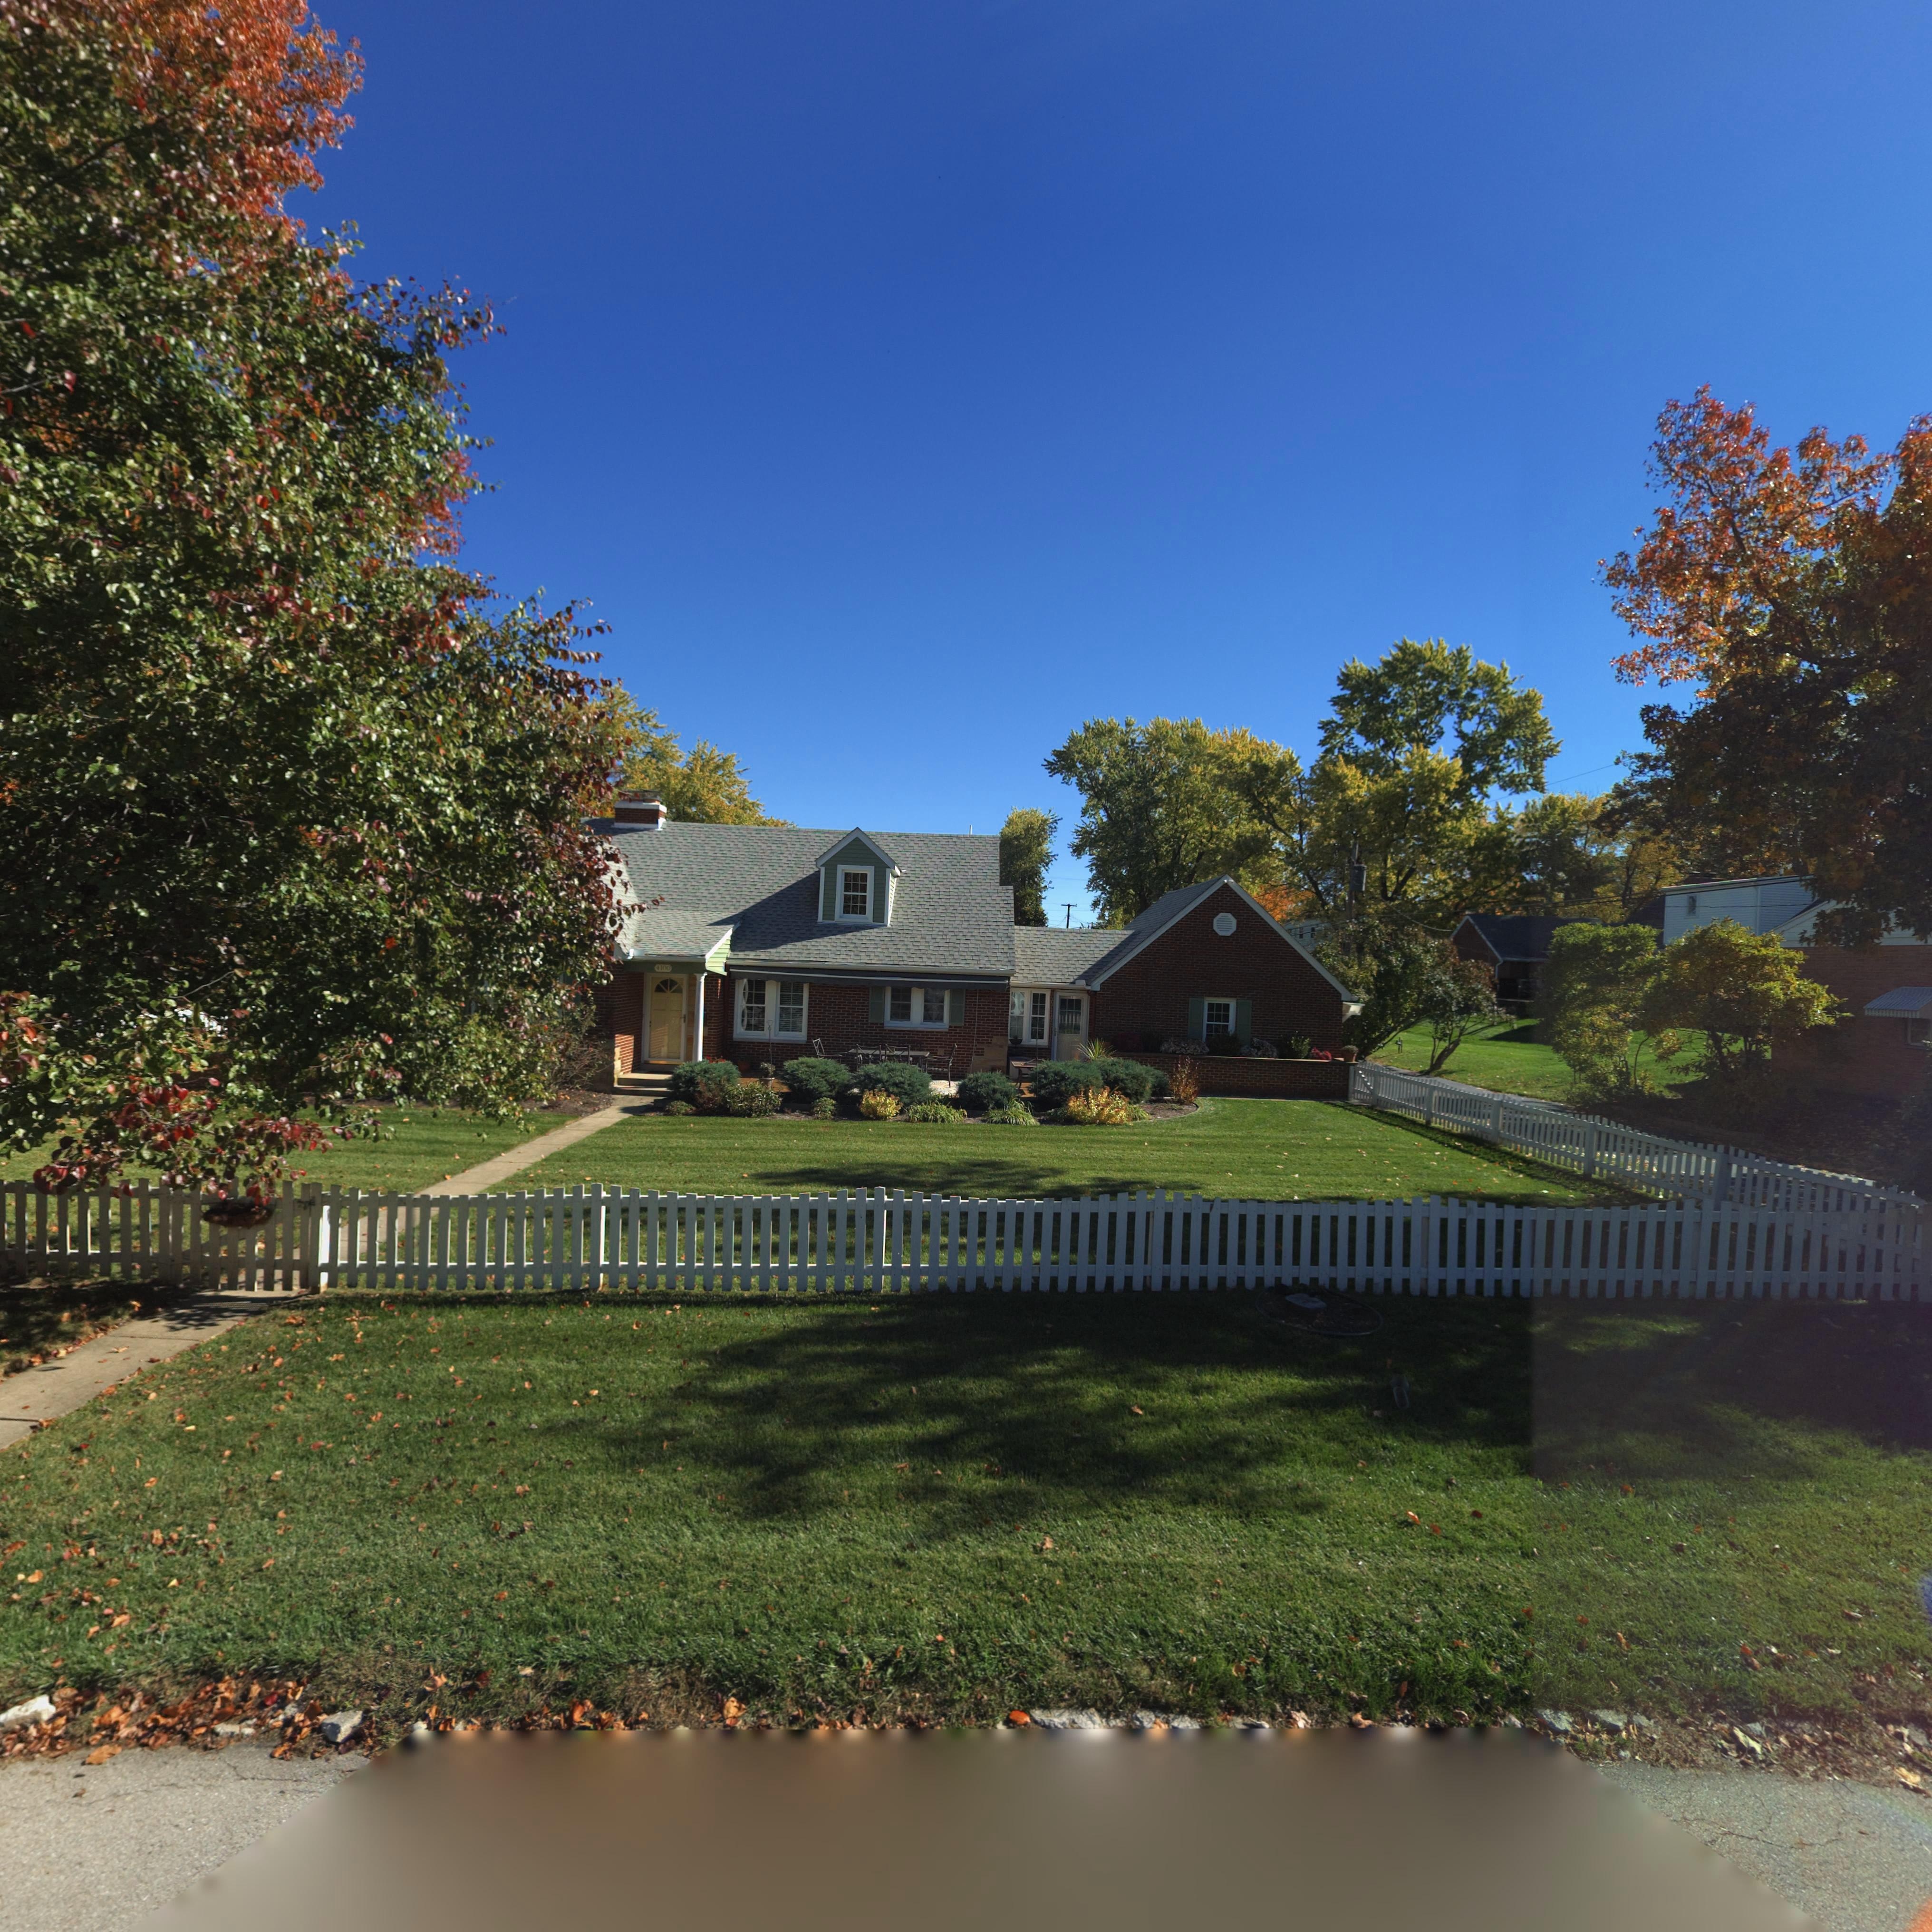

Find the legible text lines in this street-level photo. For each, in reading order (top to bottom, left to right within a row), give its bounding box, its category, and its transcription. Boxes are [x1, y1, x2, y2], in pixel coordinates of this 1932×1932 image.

[655, 964, 671, 972] StreetNumber: 4100